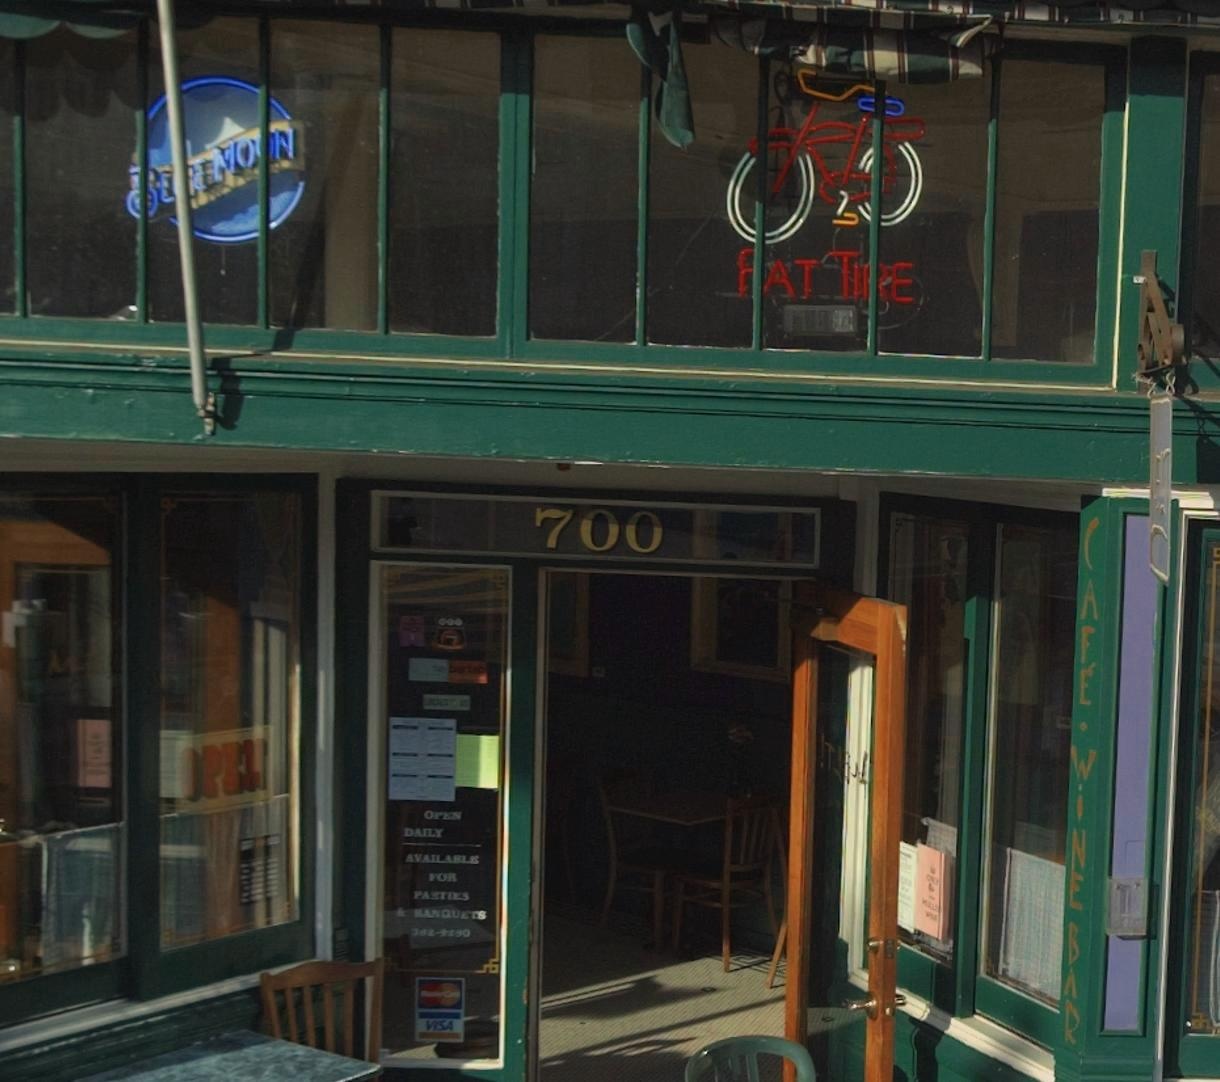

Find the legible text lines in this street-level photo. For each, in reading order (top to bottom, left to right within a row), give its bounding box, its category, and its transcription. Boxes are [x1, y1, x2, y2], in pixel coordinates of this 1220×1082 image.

[188, 120, 297, 197] BusinessName: E MO*N
[734, 246, 915, 305] BusinessName: *AT TI*E
[533, 502, 667, 555] StreetNumber: 700
[175, 737, 272, 805] None: OPEN
[1059, 512, 1105, 1050] None: CAFE WINE BAR
[422, 808, 463, 822] None: OPEN
[402, 824, 444, 839] None: DAILY
[403, 848, 480, 866] None: AVAILABLE
[426, 869, 458, 883] None: FOR
[411, 886, 471, 904] None: PARTIES
[394, 903, 488, 923] None: & BANQUETS
[409, 925, 471, 940] None: 392-9230
[424, 1018, 455, 1033] None: VISA